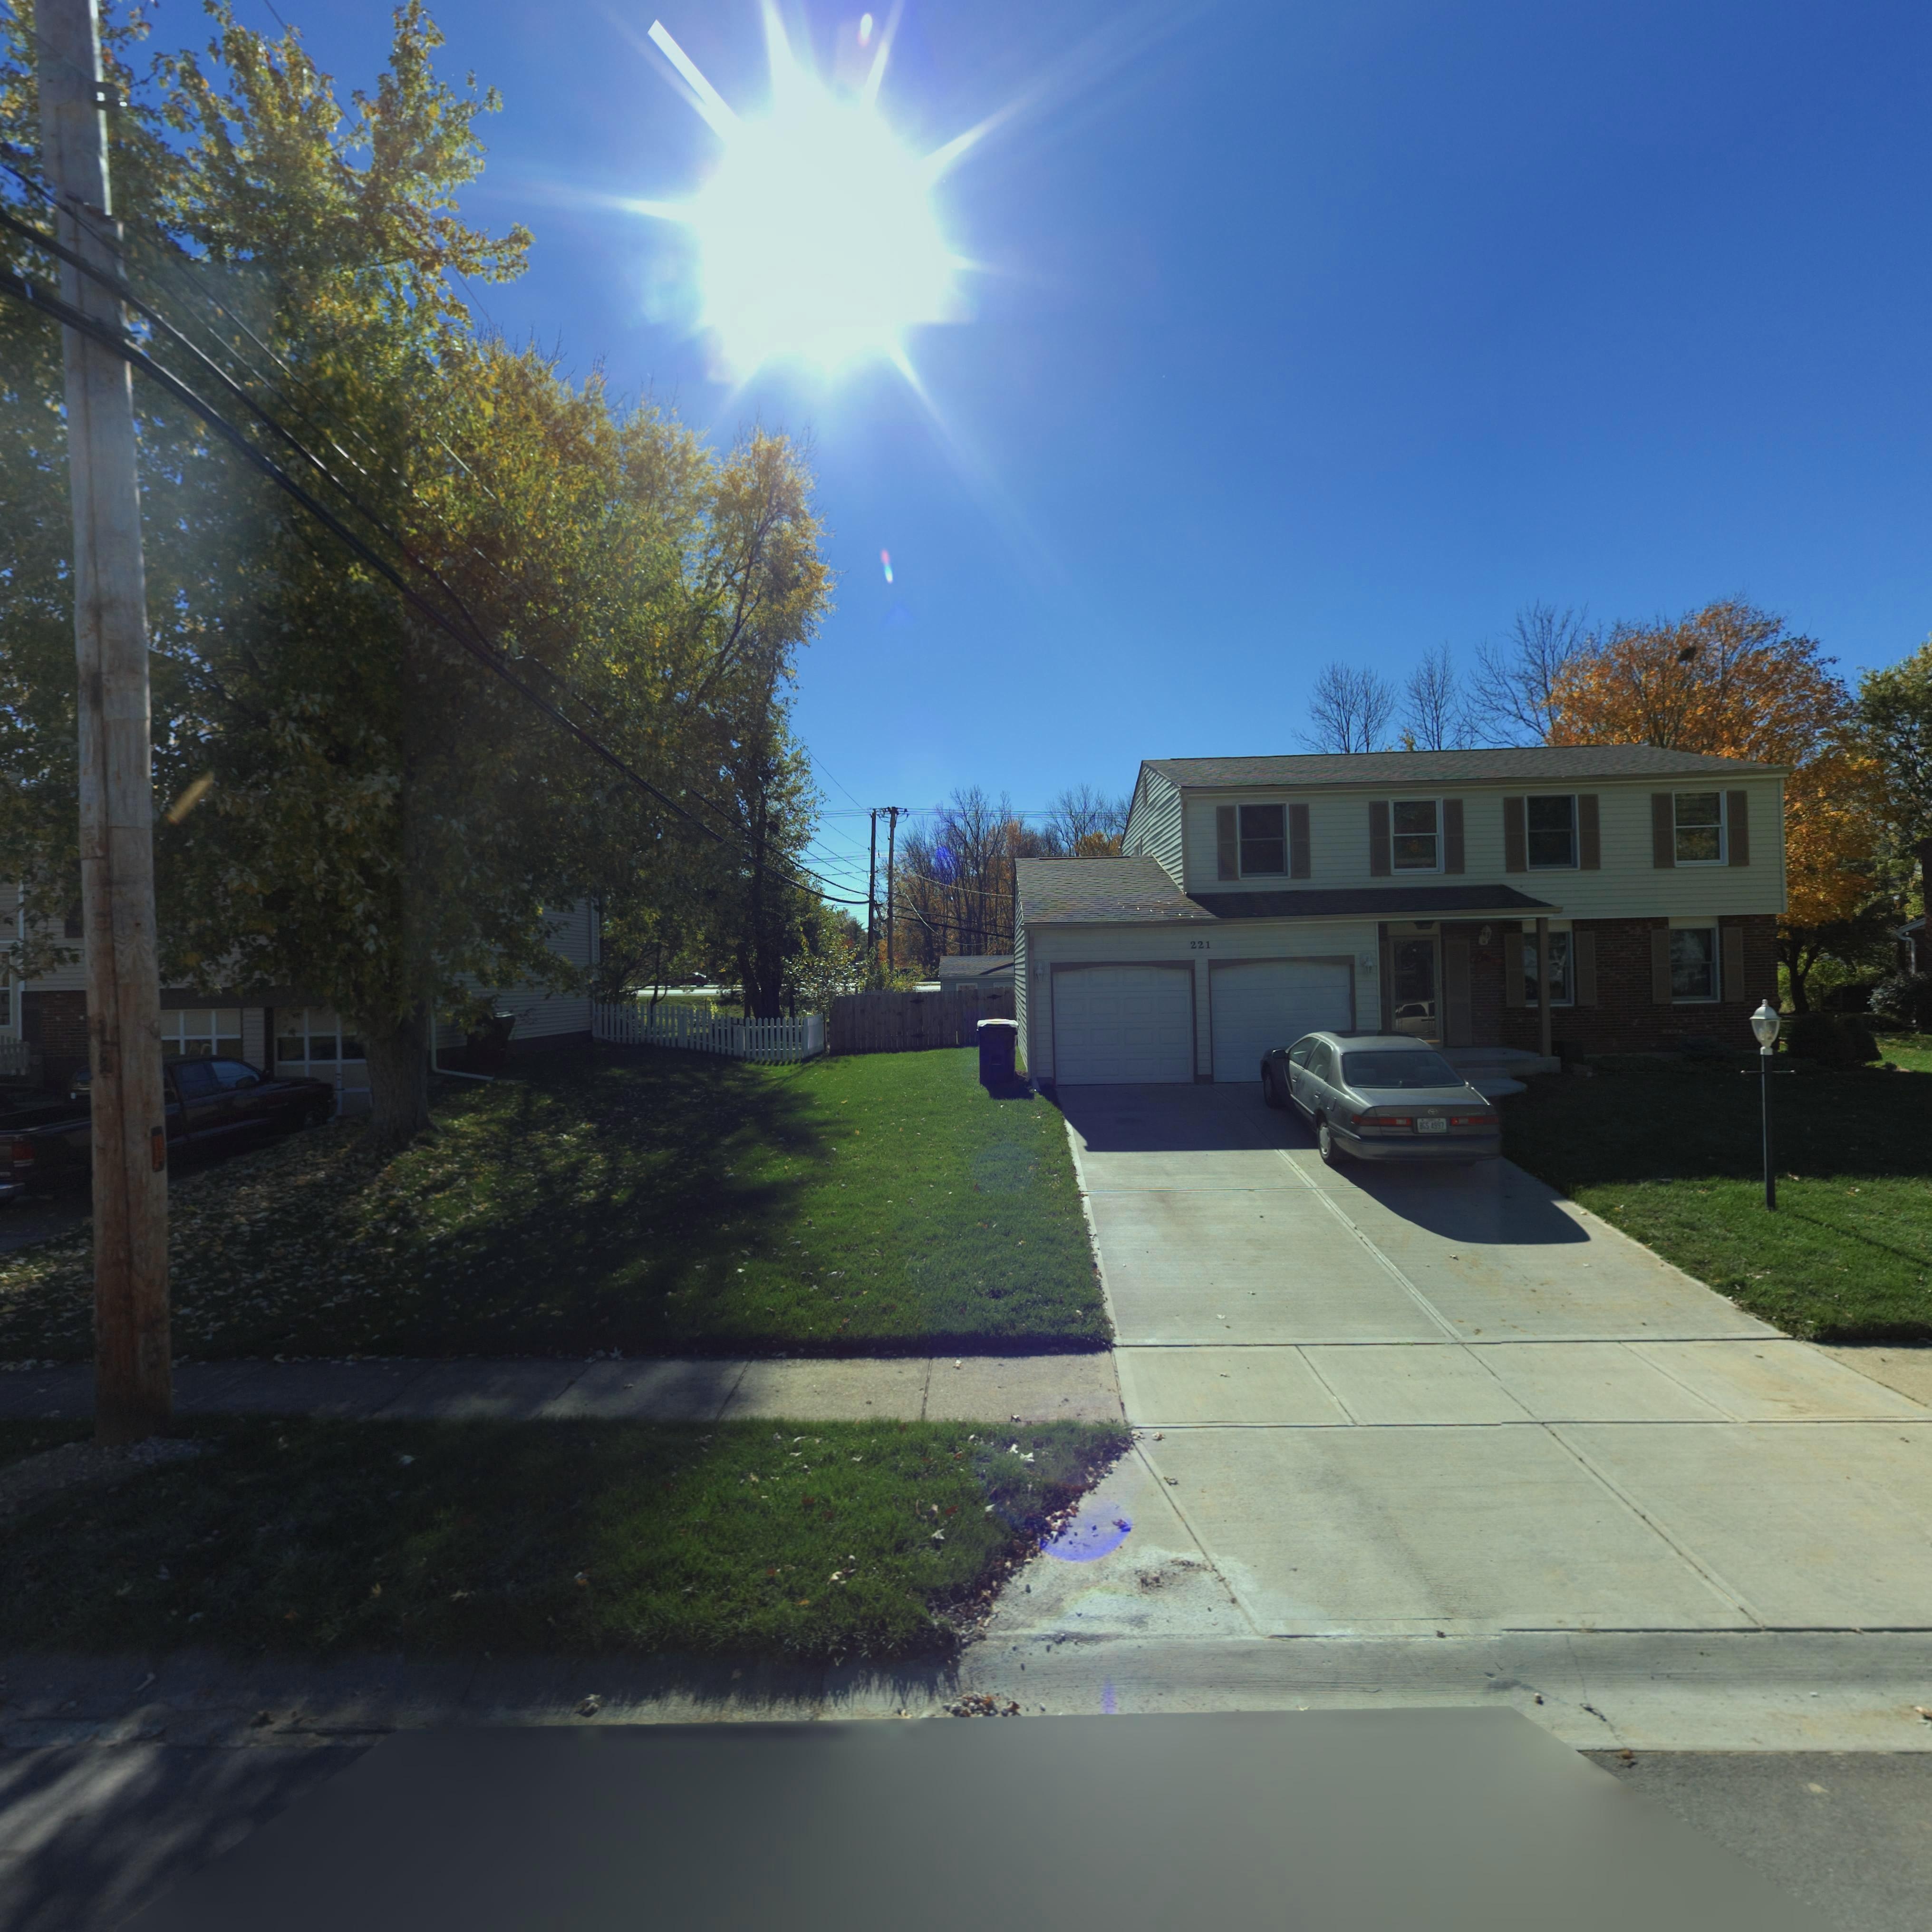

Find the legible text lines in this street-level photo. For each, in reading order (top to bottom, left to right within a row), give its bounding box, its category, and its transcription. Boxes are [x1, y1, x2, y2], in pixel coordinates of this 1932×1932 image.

[1189, 940, 1211, 950] StreetNumber: 221